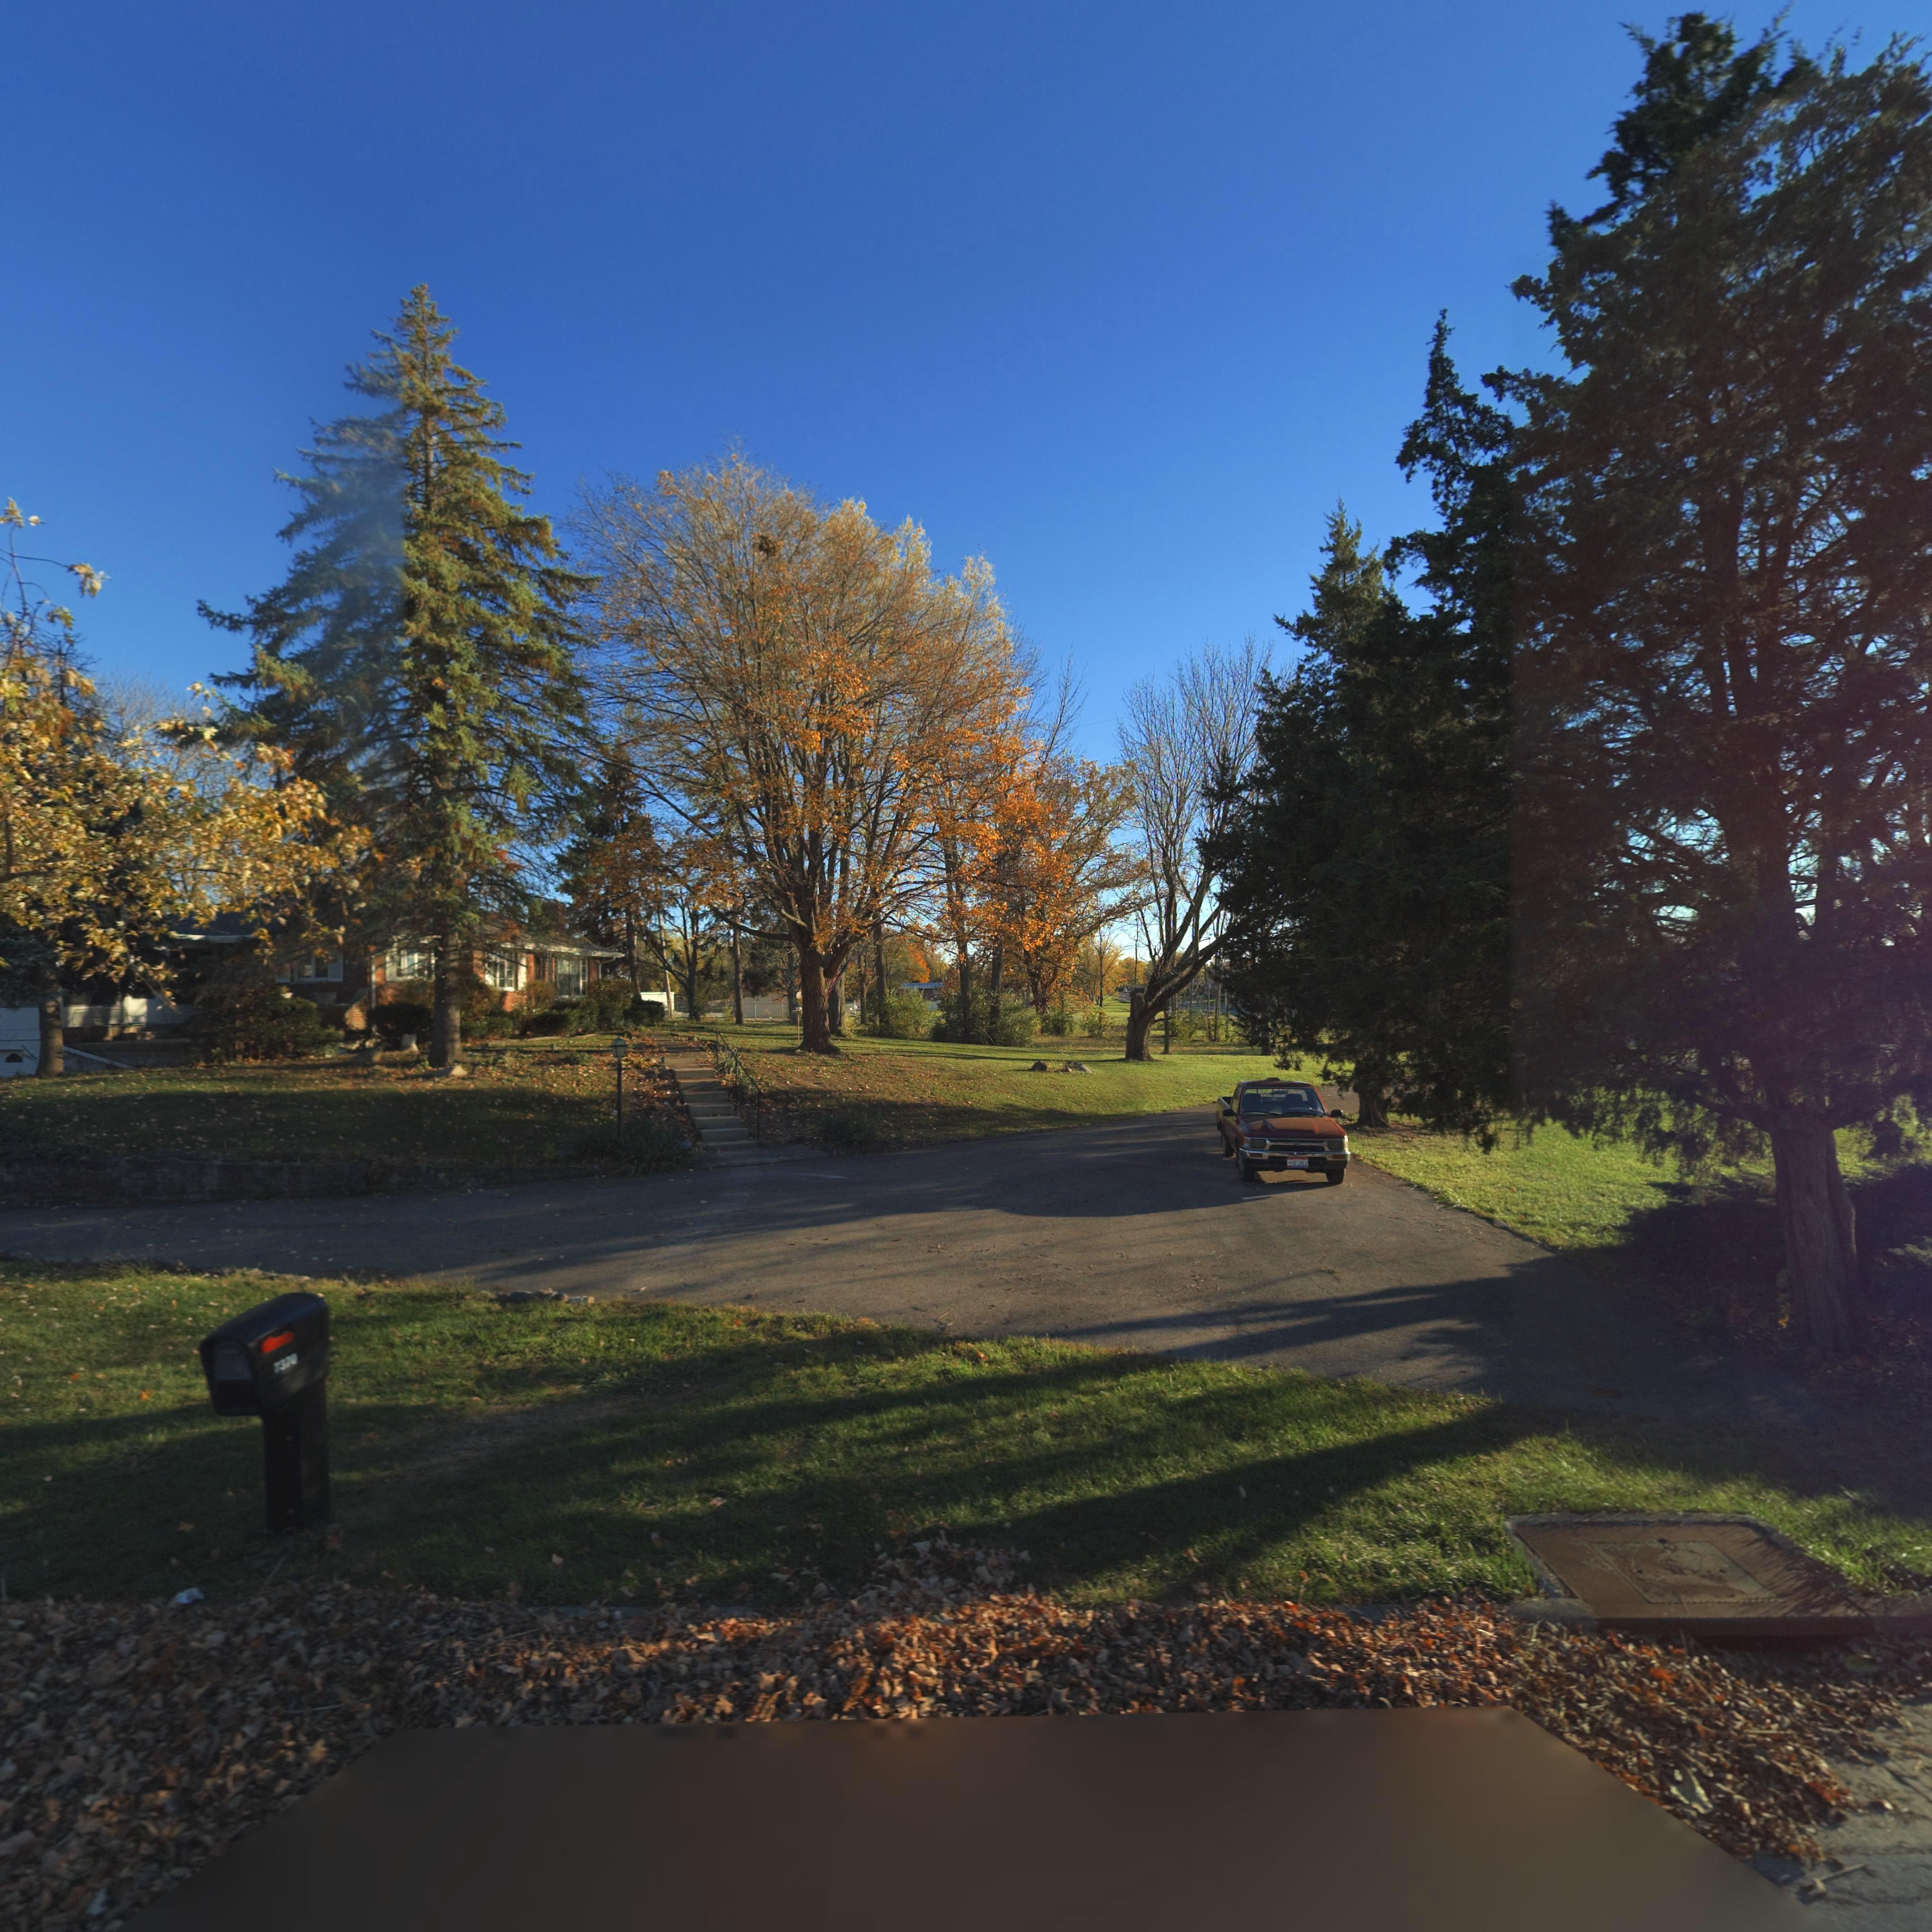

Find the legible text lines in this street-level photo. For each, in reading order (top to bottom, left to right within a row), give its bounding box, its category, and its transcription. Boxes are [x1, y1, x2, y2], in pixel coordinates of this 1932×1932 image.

[272, 1352, 299, 1375] StreetNumber: 7370